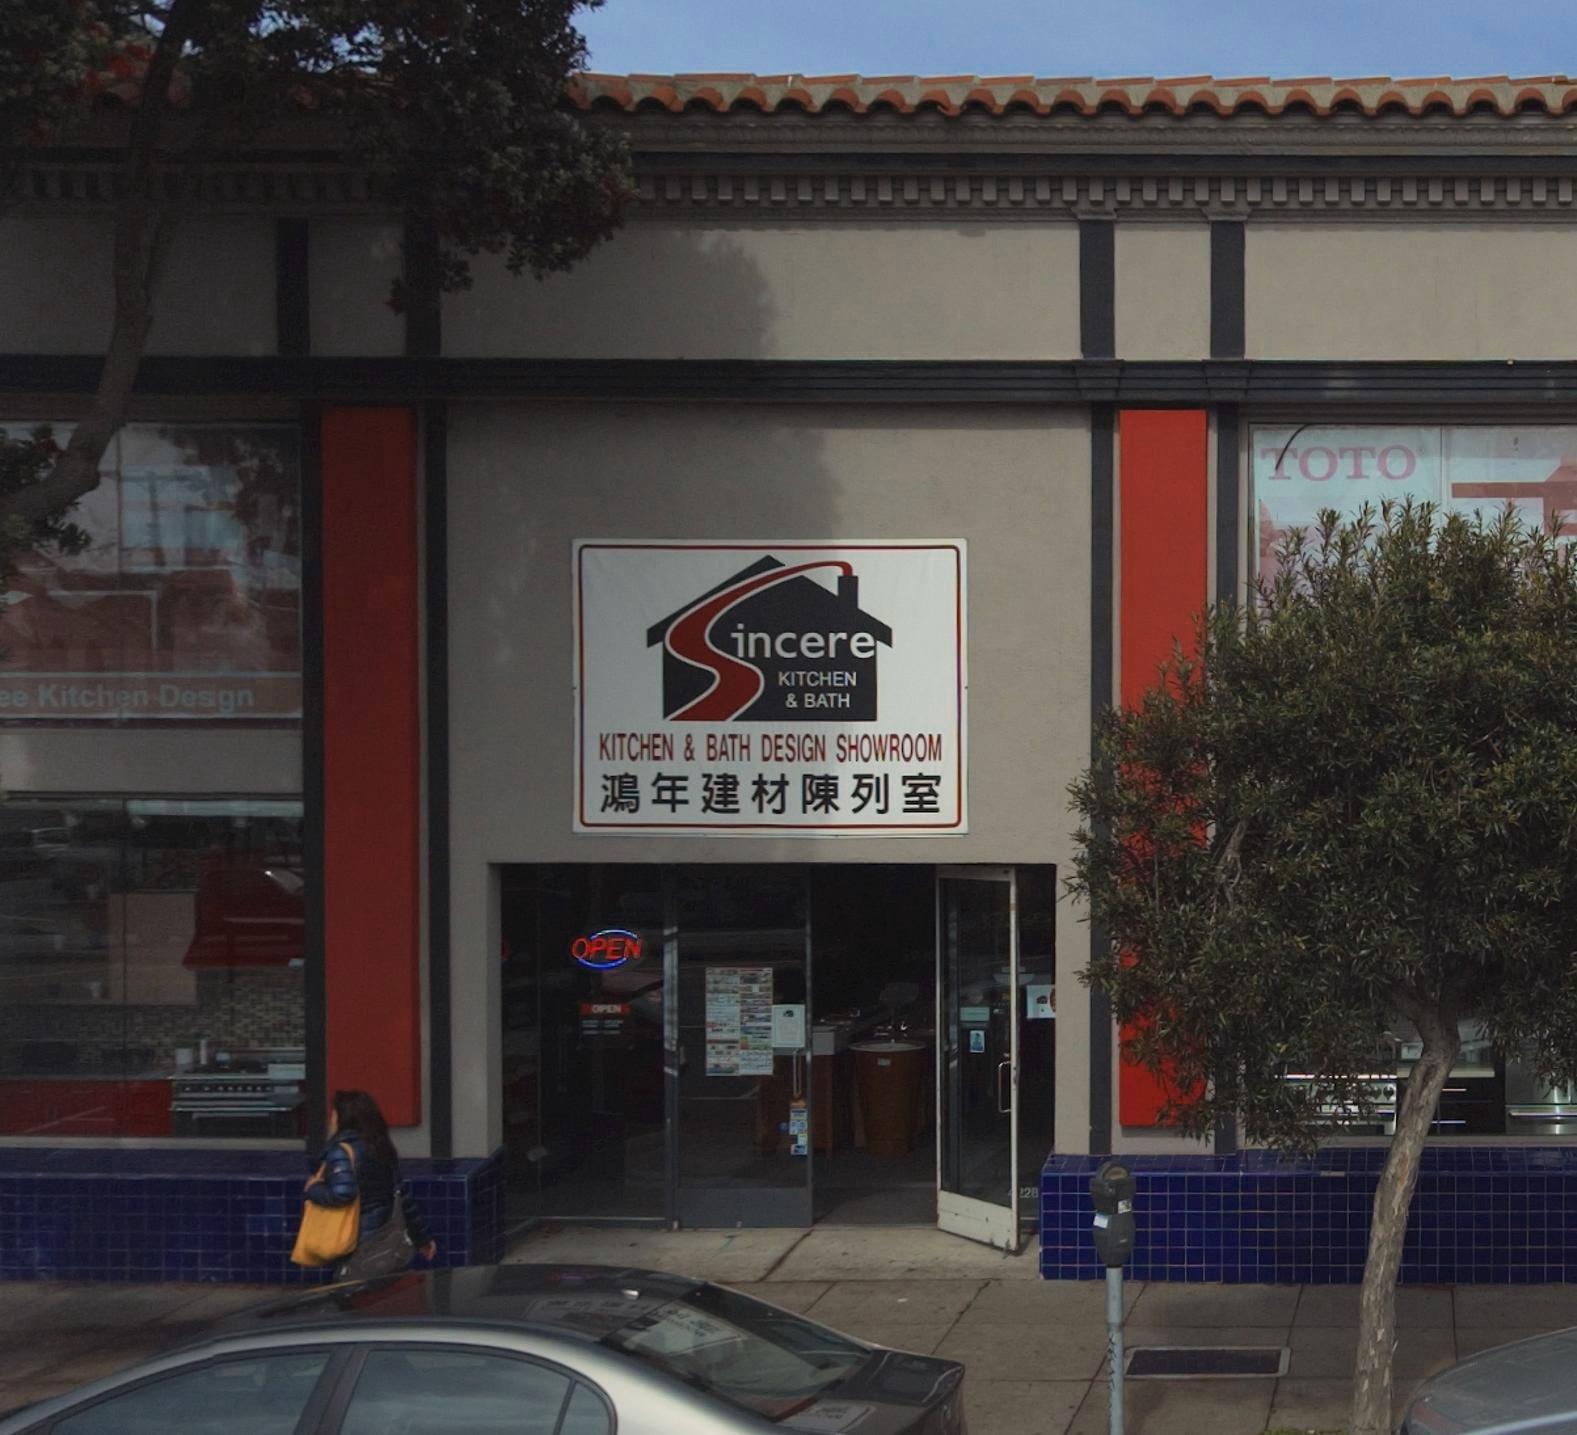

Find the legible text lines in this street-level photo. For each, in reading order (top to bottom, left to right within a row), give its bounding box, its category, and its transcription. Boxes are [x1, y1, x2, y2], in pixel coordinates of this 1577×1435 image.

[1258, 442, 1419, 483] None: TOTO
[665, 558, 876, 723] BusinessName: Sincere
[774, 665, 862, 690] BusinessName: KITCHEN
[10, 681, 261, 716] None: e Kitchen Design
[782, 690, 853, 711] BusinessName: & BATH
[596, 729, 943, 763] None: KITCHEN & BATH DESIGN SHOWROOM
[566, 934, 646, 961] None: OPEN
[590, 1002, 622, 1018] None: OPE\N